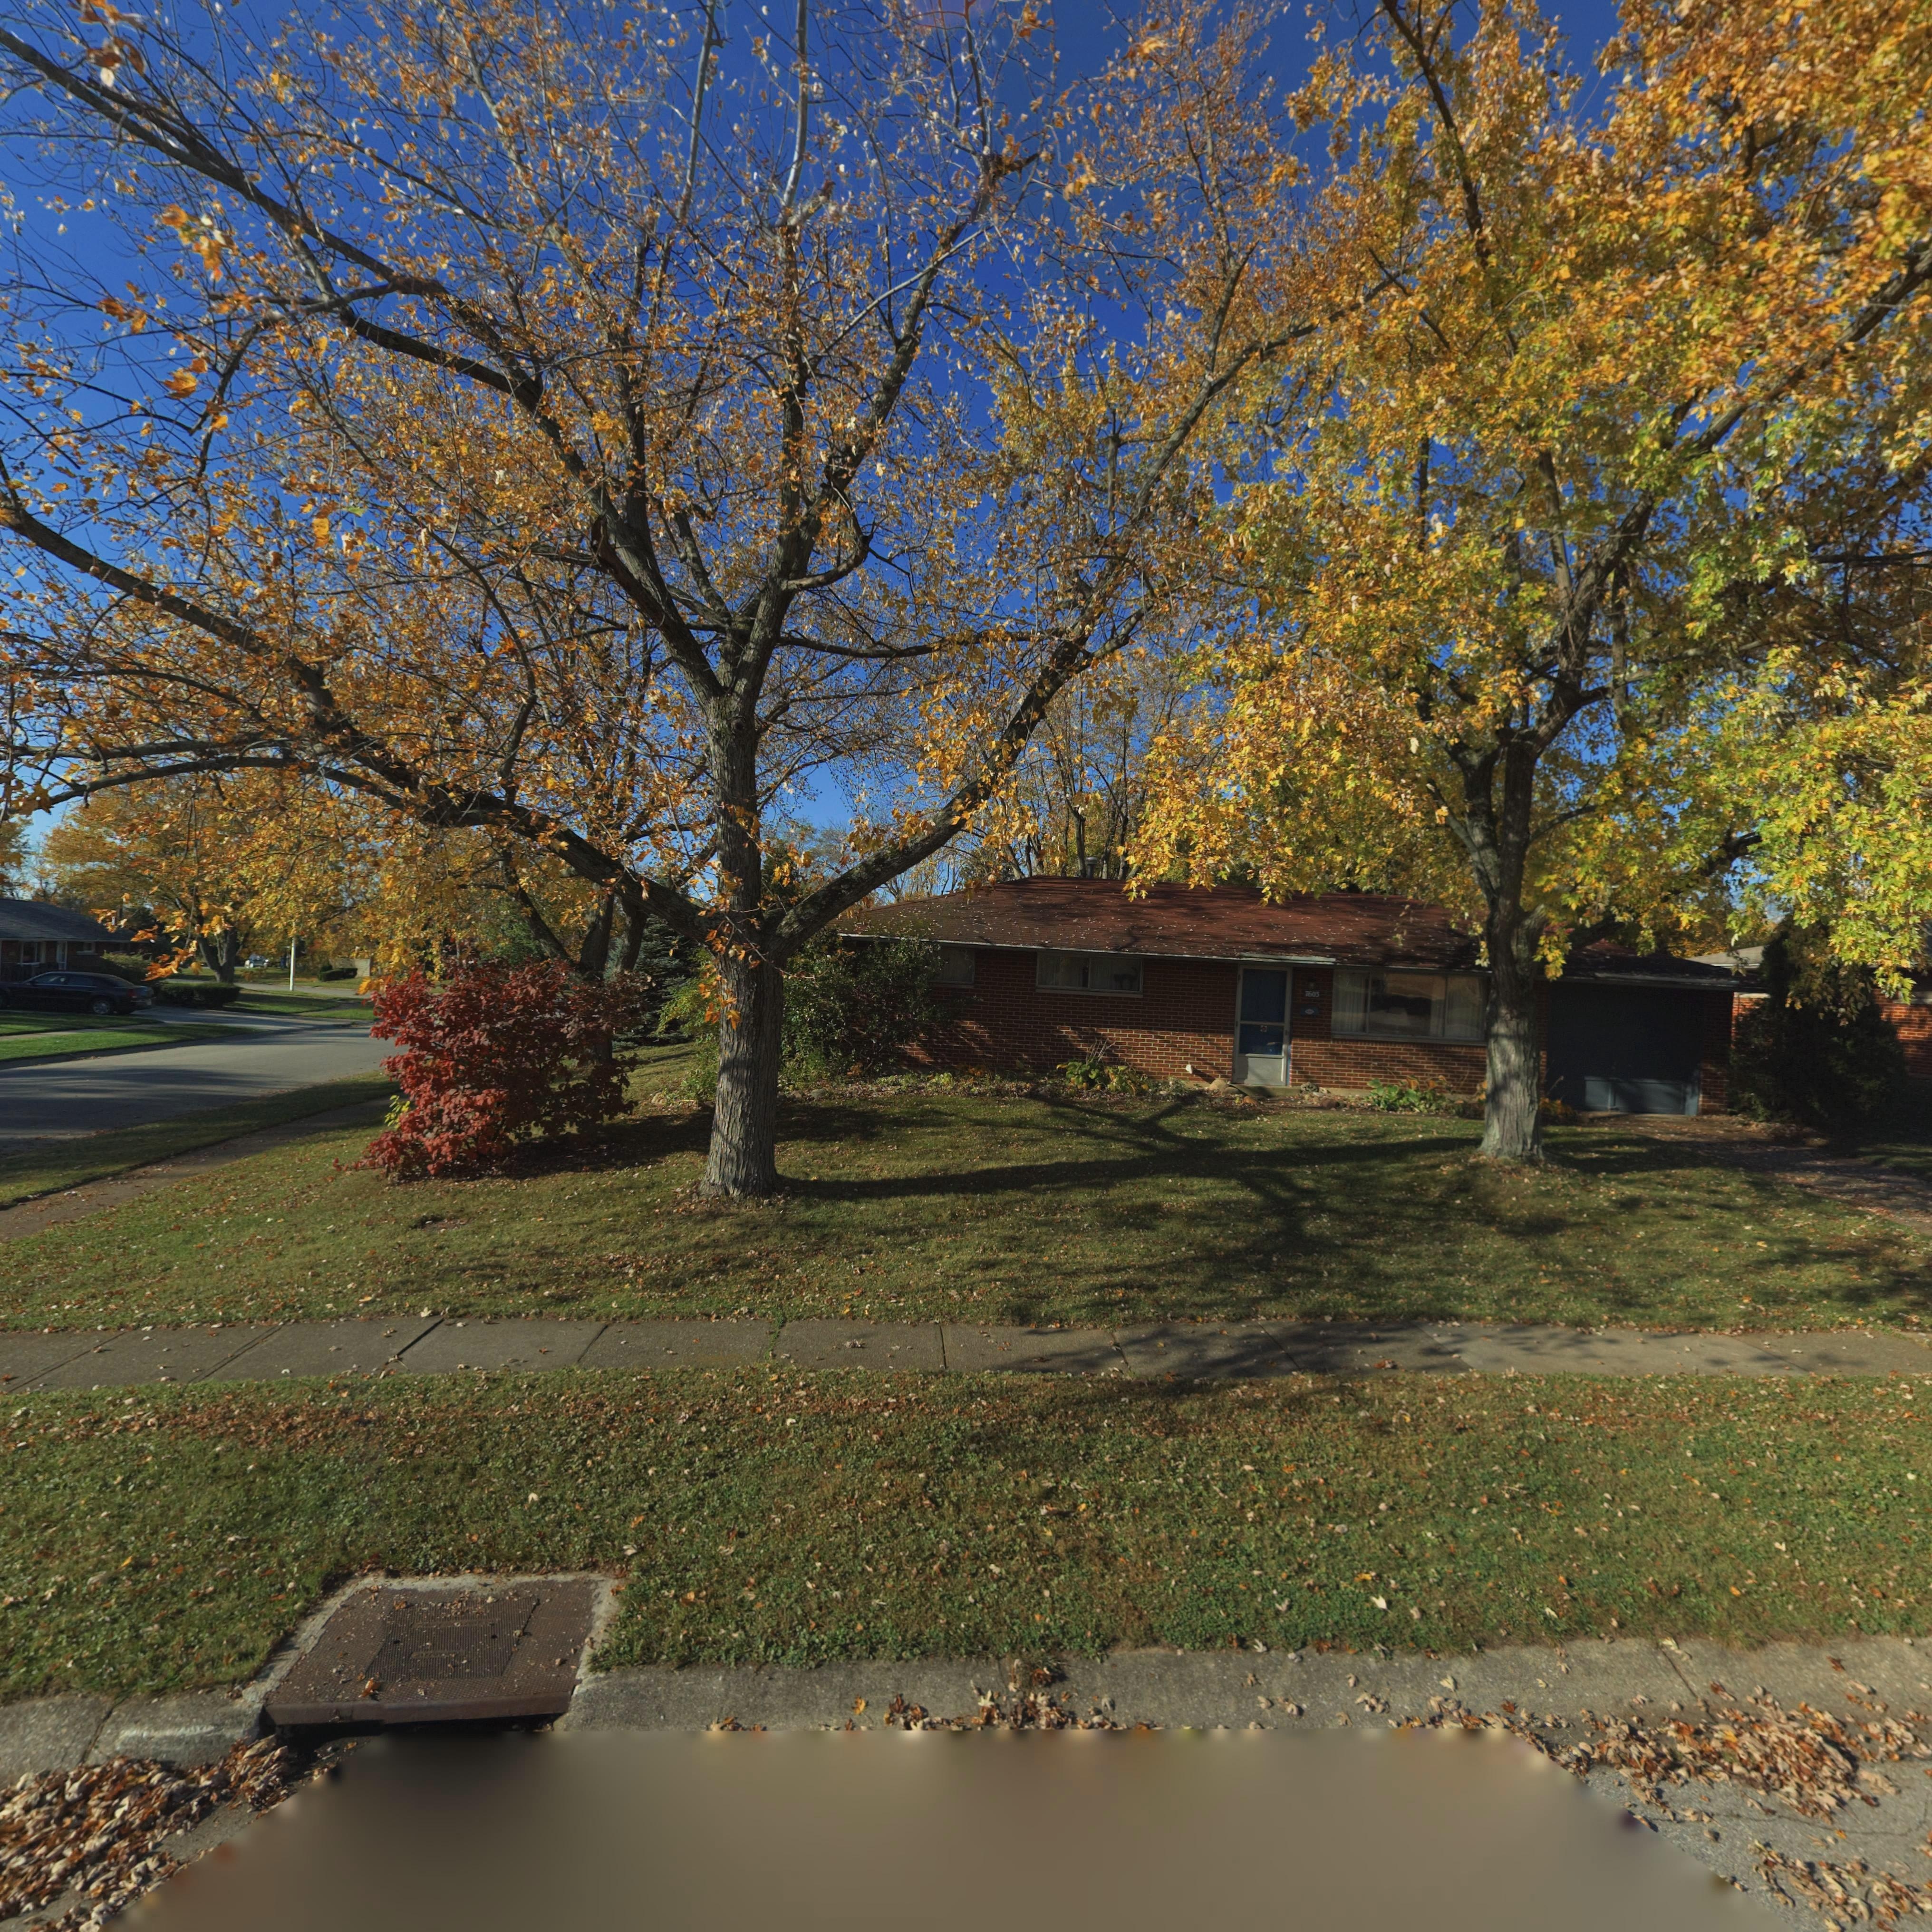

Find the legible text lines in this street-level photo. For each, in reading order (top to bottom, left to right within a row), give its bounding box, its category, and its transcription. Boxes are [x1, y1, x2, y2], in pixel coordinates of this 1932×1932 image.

[1304, 989, 1321, 998] StreetNumber: 7603